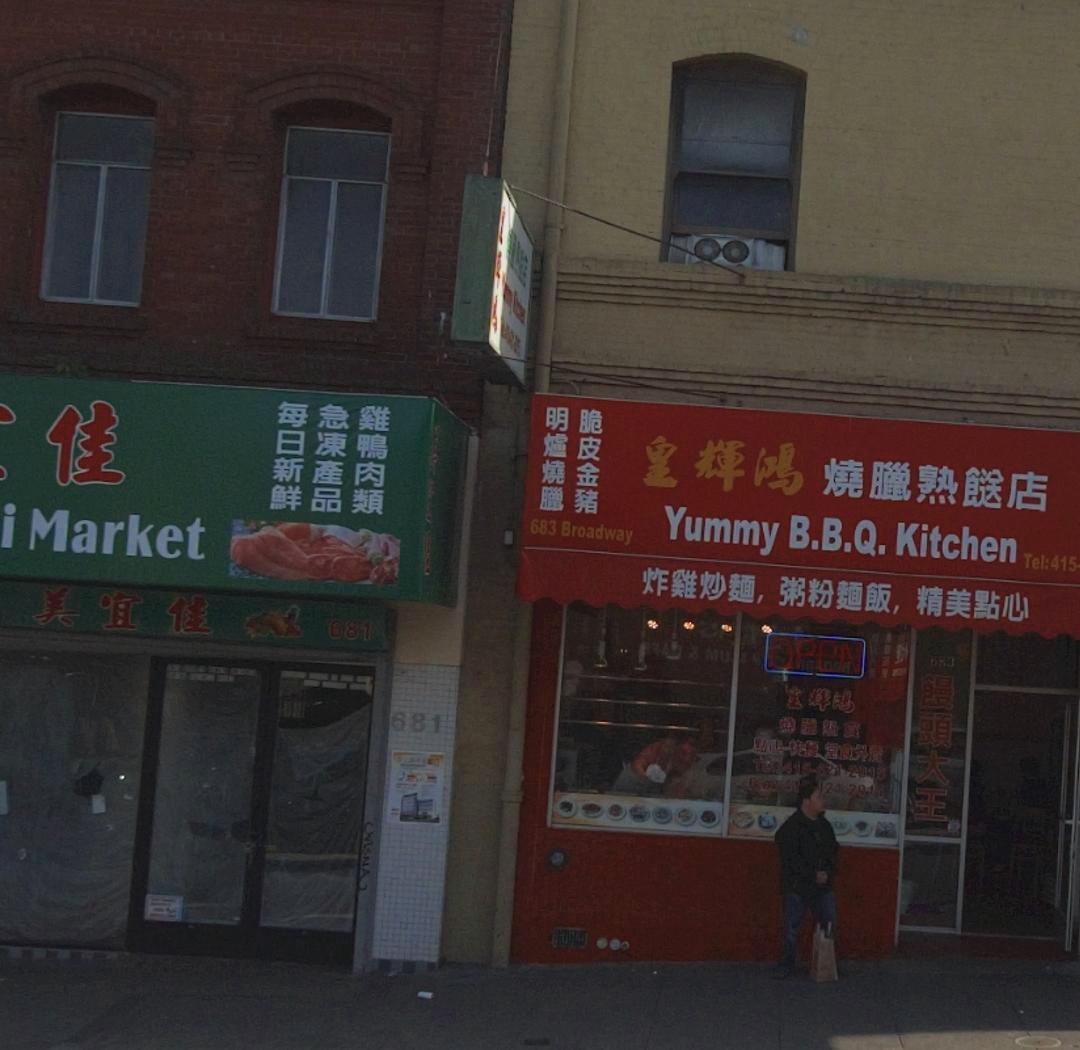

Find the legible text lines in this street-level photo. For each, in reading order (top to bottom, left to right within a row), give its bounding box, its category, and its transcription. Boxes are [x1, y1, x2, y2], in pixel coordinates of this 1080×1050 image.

[0, 501, 206, 562] BusinessName: i Market
[529, 517, 558, 537] StreetNumber: 683
[560, 518, 635, 547] StreetName: Broadway
[662, 502, 1018, 564] BusinessName: Yummy B.B.Q. Kitchen
[1021, 551, 1078, 573] None: Tel:415
[327, 616, 371, 643] StreetNumber: 681
[767, 634, 864, 676] None: OPEN
[928, 654, 956, 670] StreetNumber: 683
[388, 708, 443, 736] StreetNumber: 681
[751, 757, 886, 783] None: Tel.415-42*-201*
[780, 776, 884, 801] None: 41**2* 2011